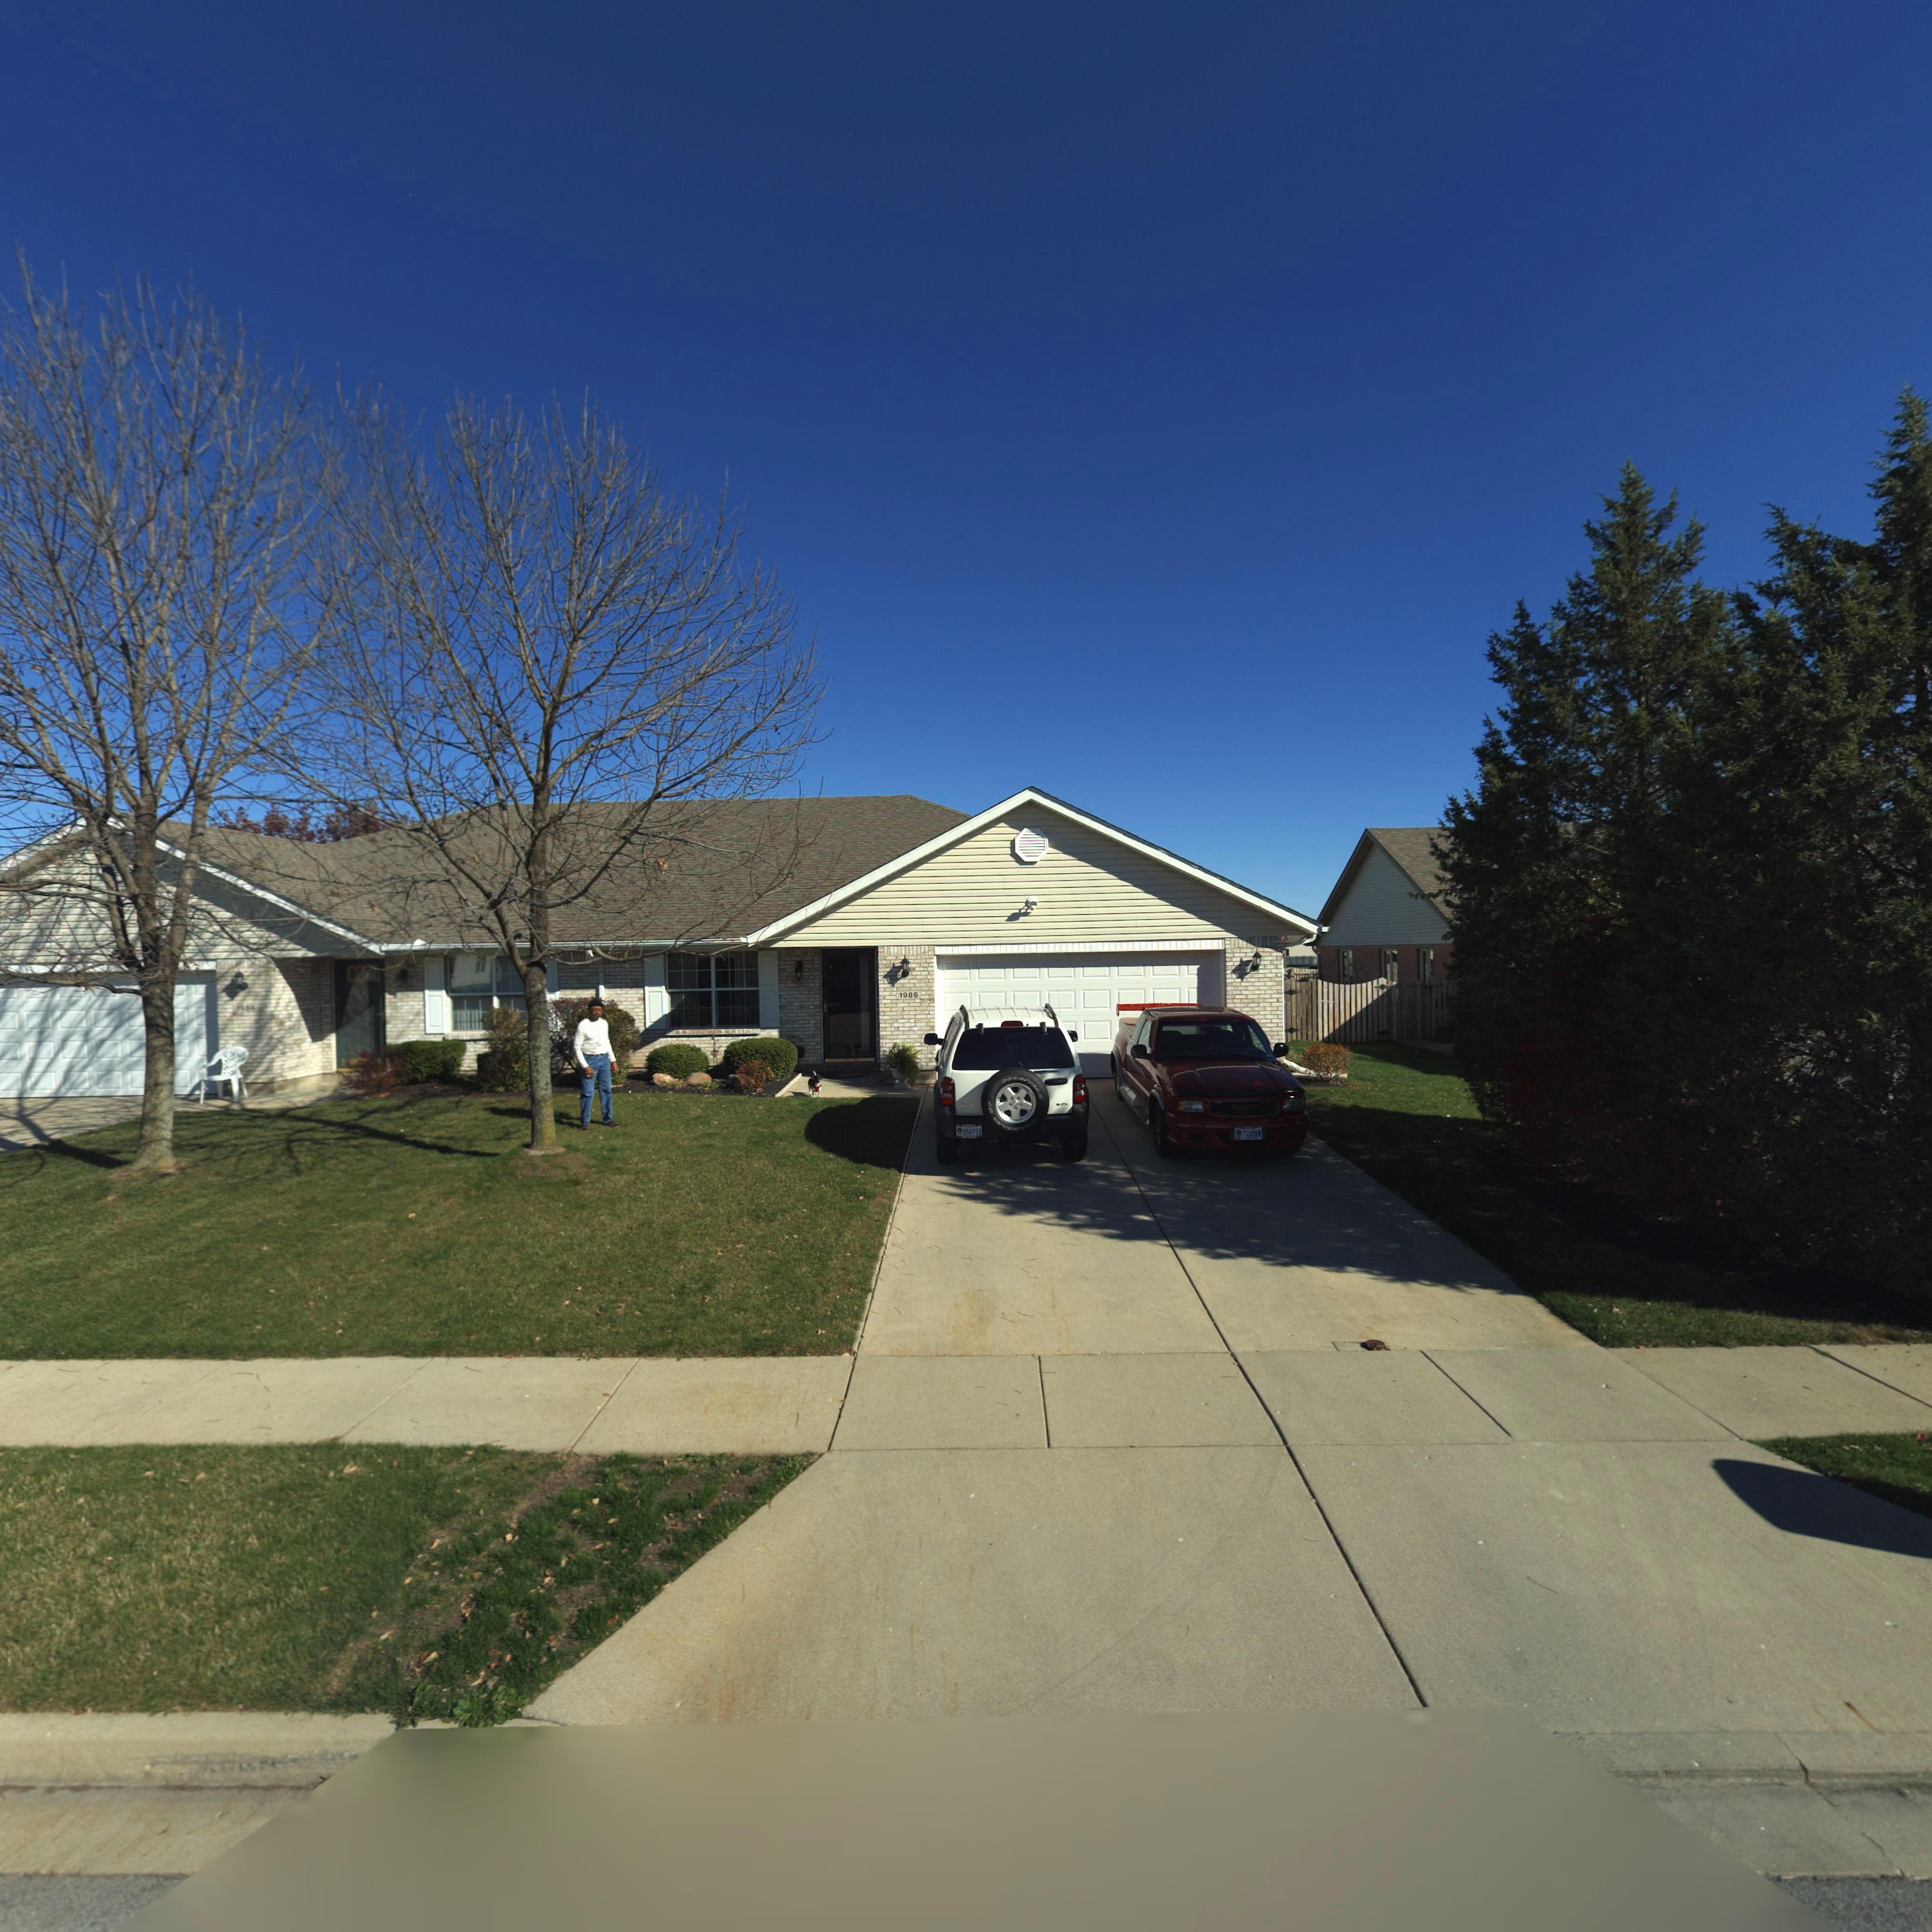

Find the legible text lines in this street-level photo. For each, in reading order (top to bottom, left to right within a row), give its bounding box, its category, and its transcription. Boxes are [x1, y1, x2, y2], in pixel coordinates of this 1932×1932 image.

[898, 991, 919, 998] StreetNumber: 1986
[236, 1004, 256, 1012] StreetNumber: 1984